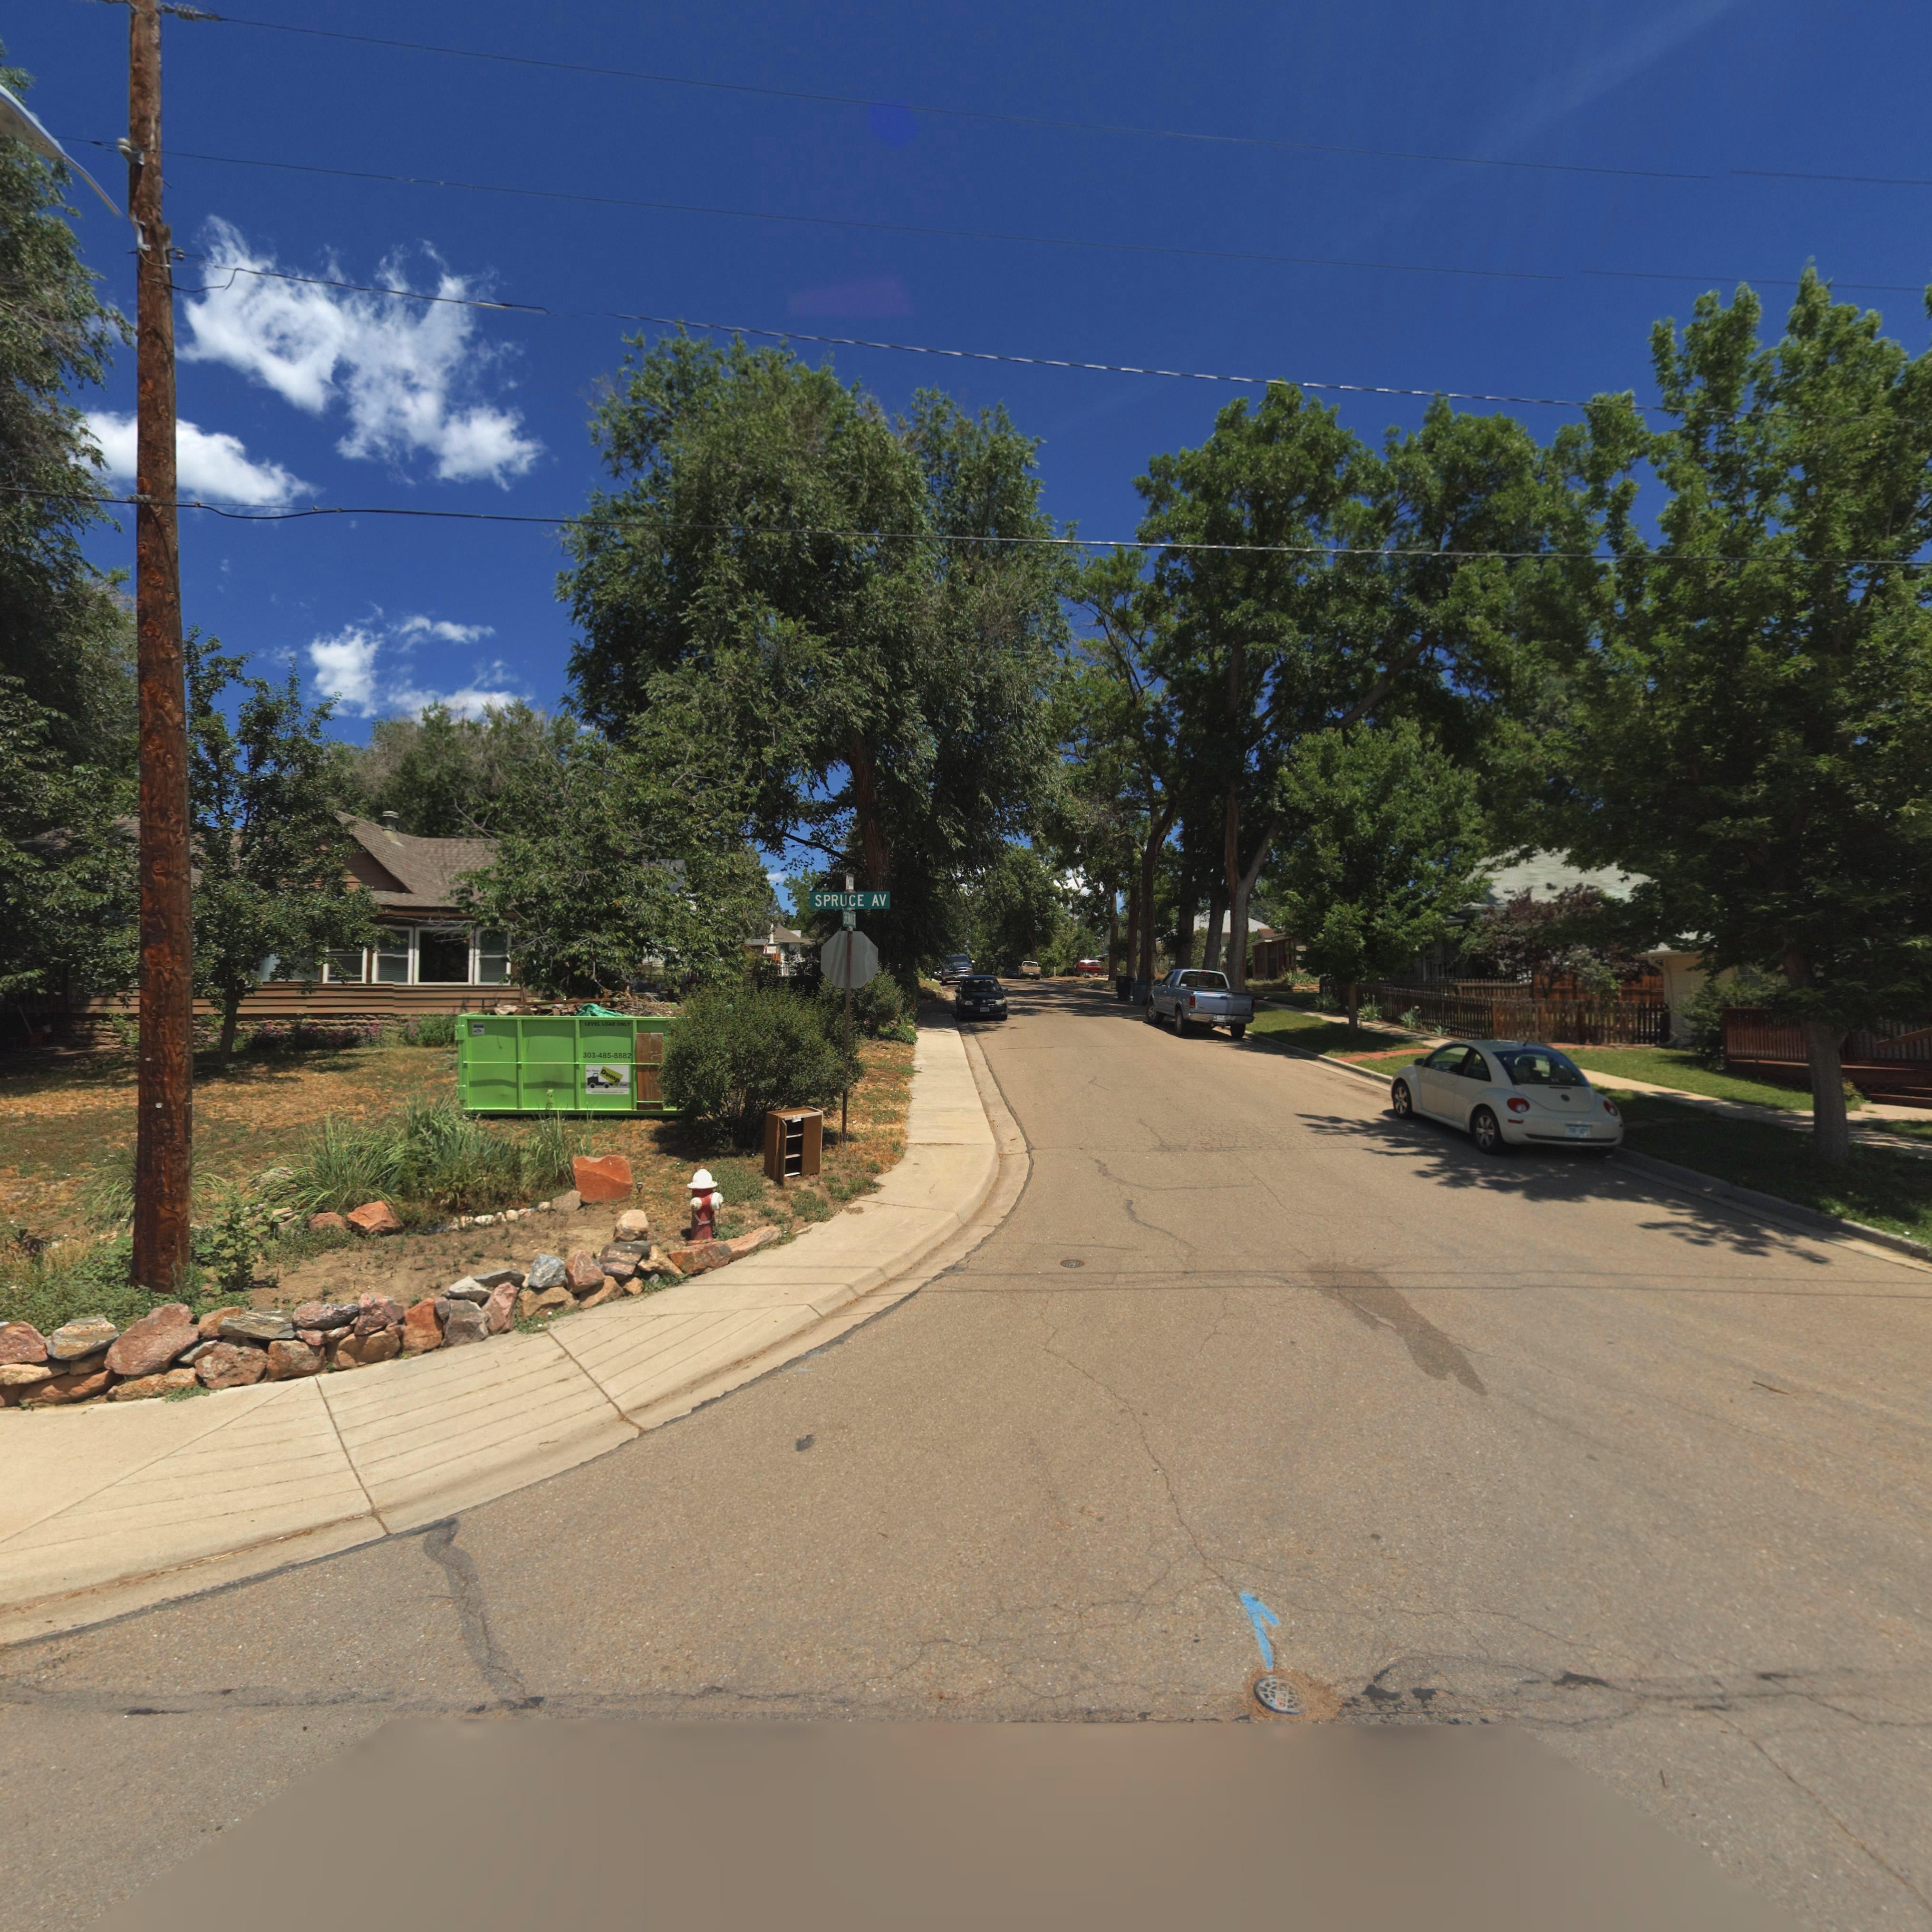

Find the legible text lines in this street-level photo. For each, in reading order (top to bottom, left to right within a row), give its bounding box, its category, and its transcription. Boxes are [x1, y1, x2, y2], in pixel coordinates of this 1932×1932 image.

[814, 894, 887, 907] StreetName: SPRUCE AV
[843, 911, 848, 924] StreetName: S*E